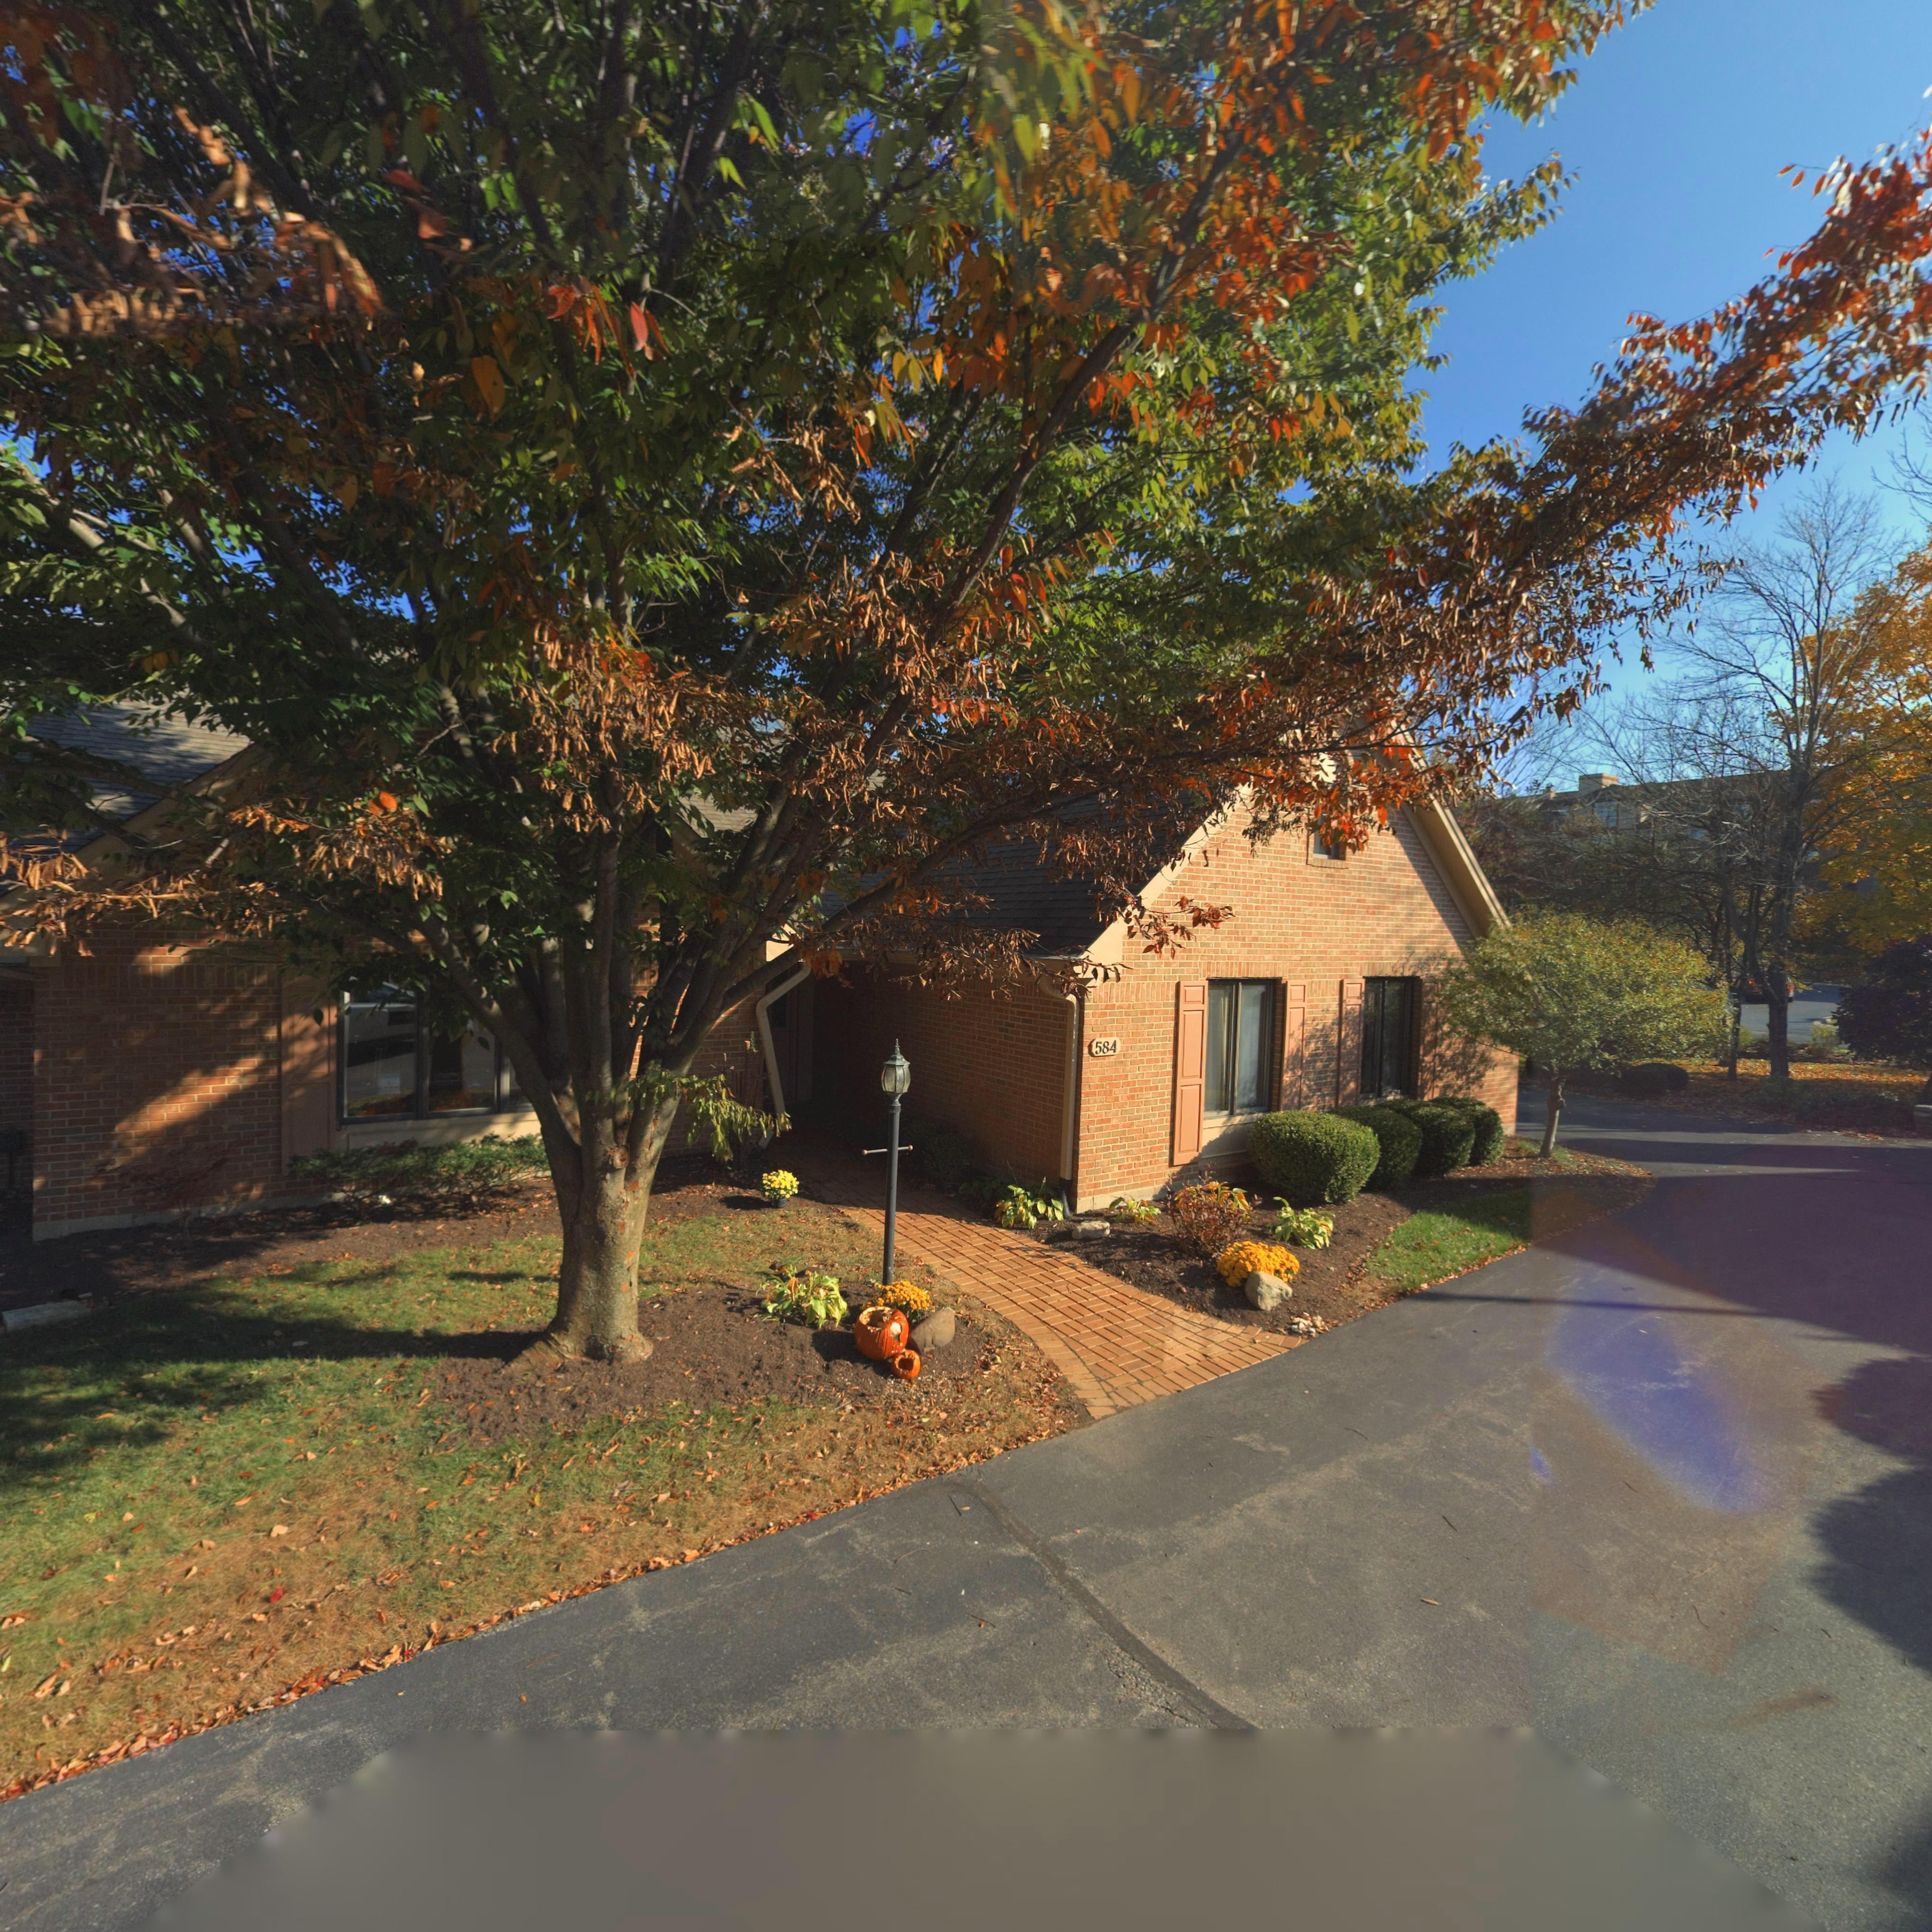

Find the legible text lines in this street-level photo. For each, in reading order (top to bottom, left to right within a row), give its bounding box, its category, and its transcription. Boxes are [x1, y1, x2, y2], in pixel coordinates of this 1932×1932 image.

[1093, 1038, 1119, 1056] StreetNumber: 584